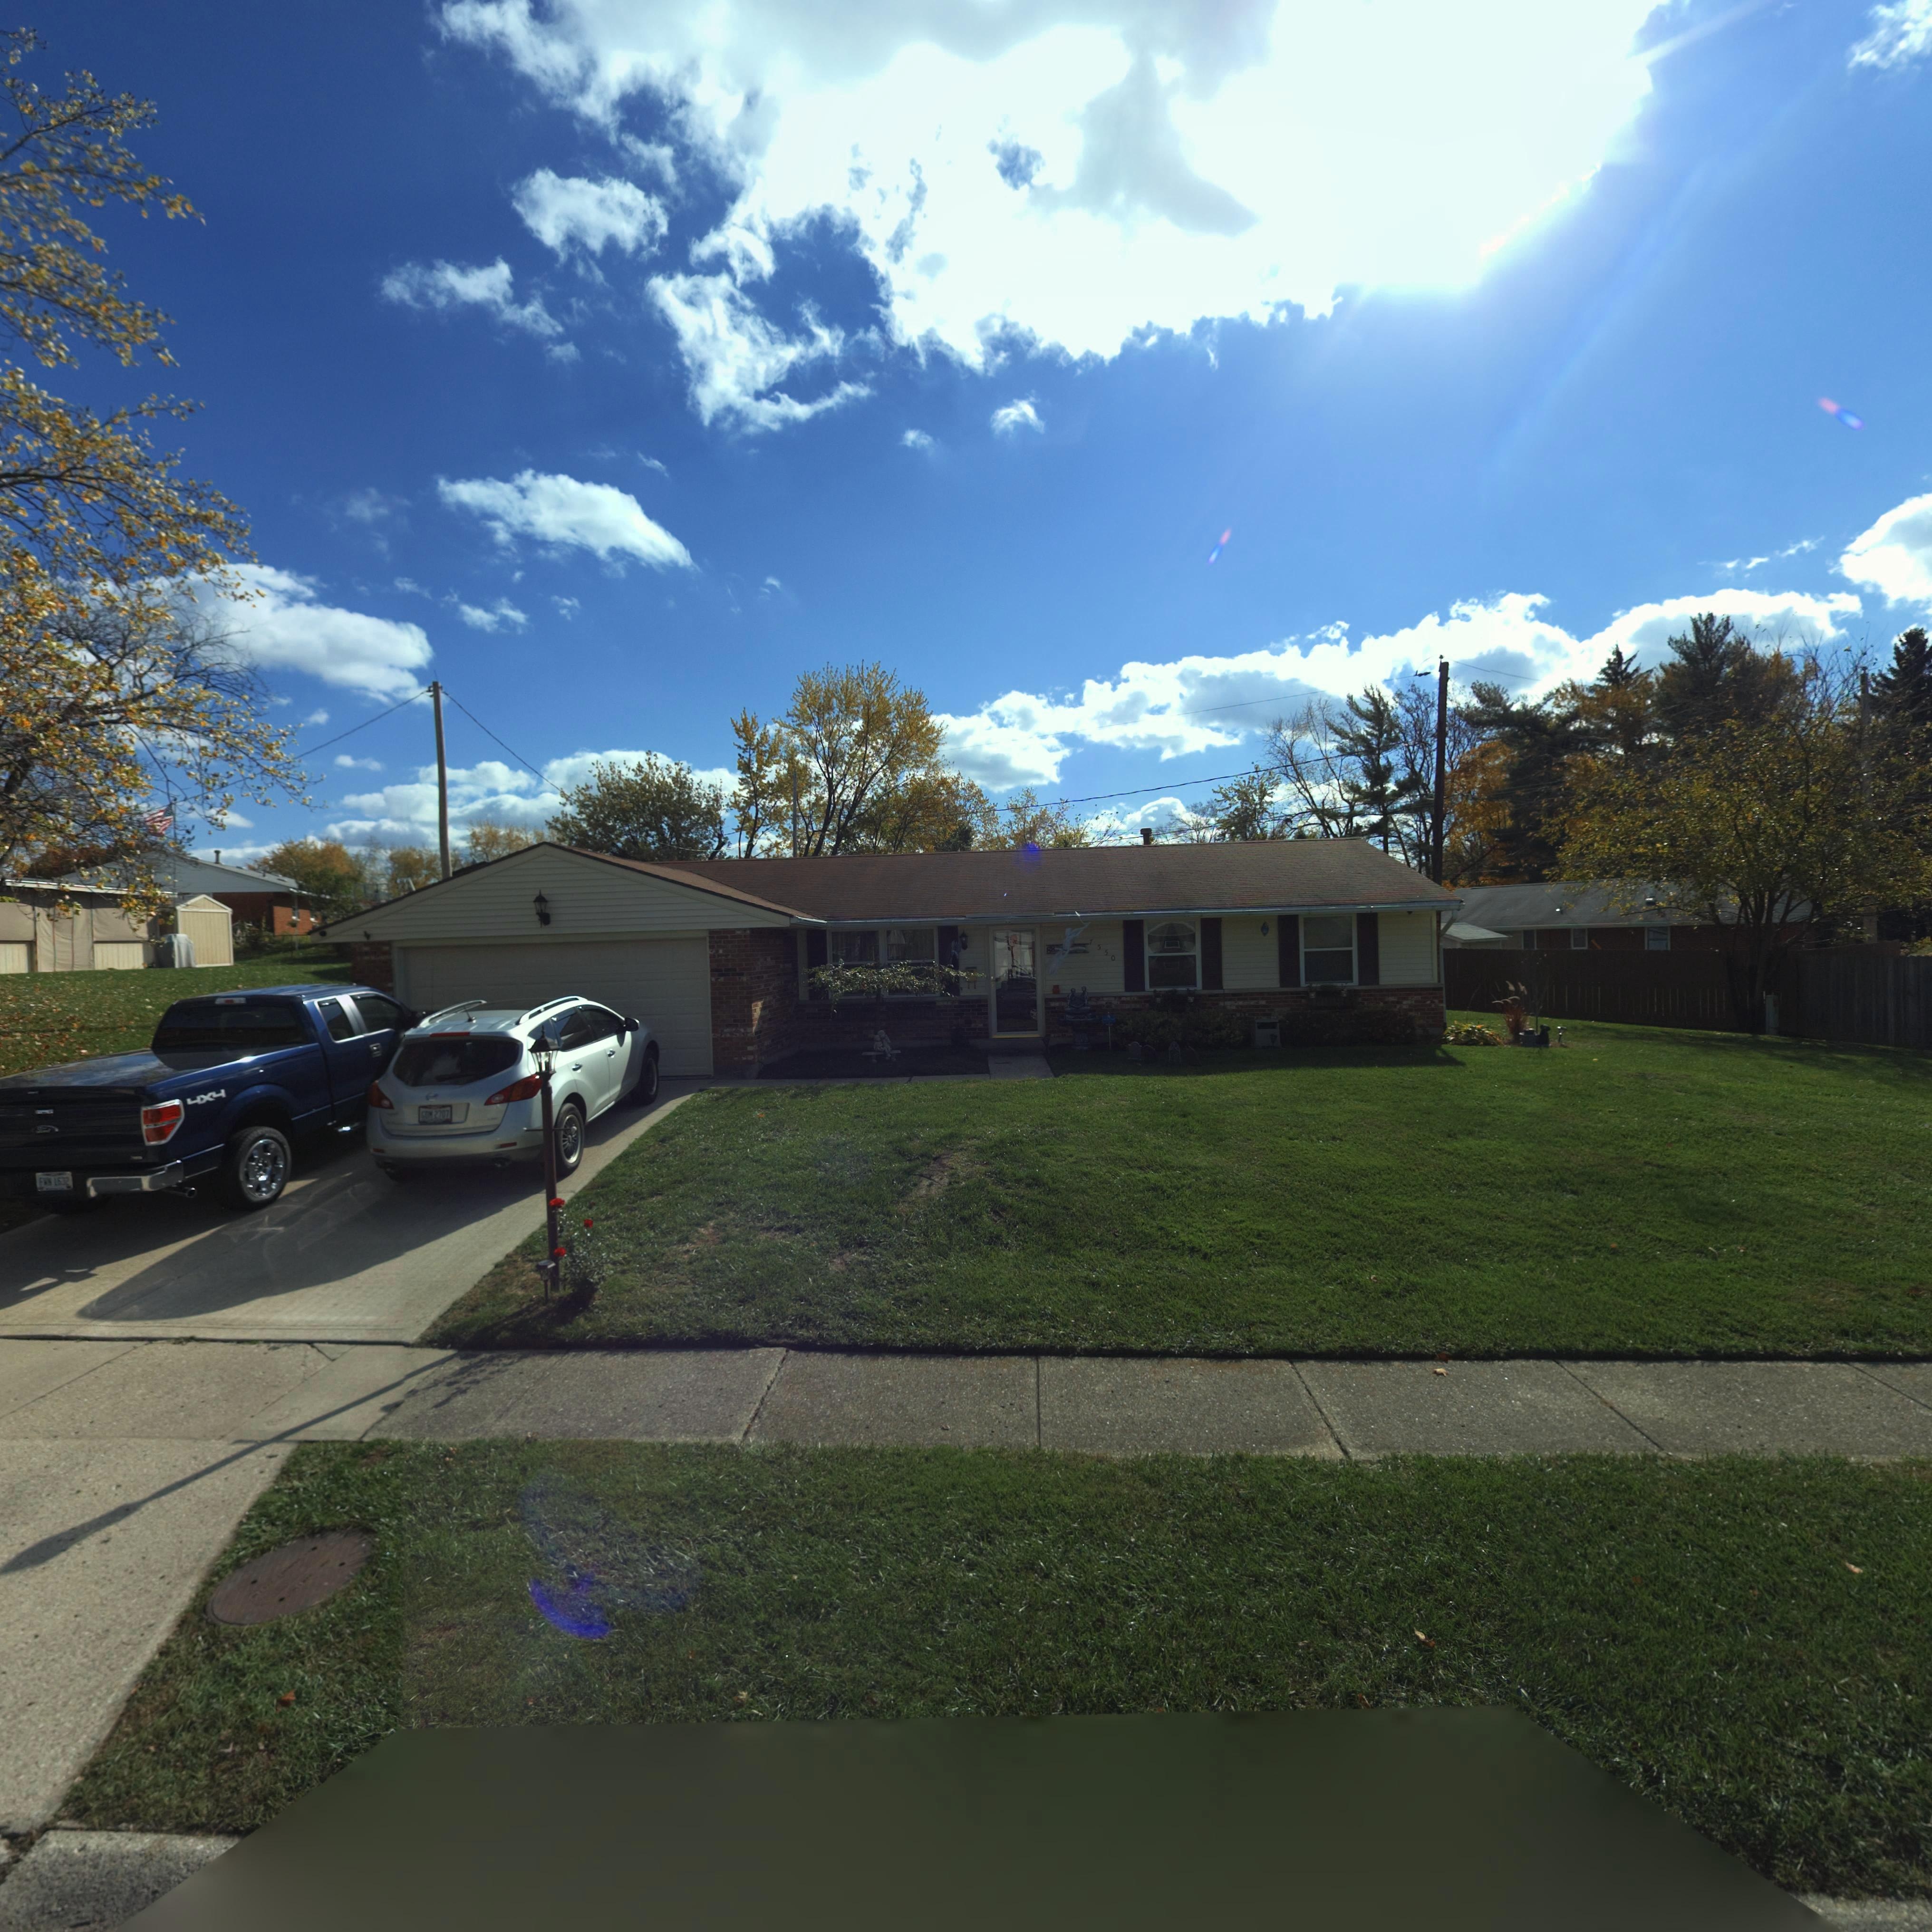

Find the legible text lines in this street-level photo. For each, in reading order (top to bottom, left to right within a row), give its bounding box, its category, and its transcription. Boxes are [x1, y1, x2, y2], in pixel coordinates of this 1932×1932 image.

[1089, 938, 1116, 962] StreetNumber: 7550